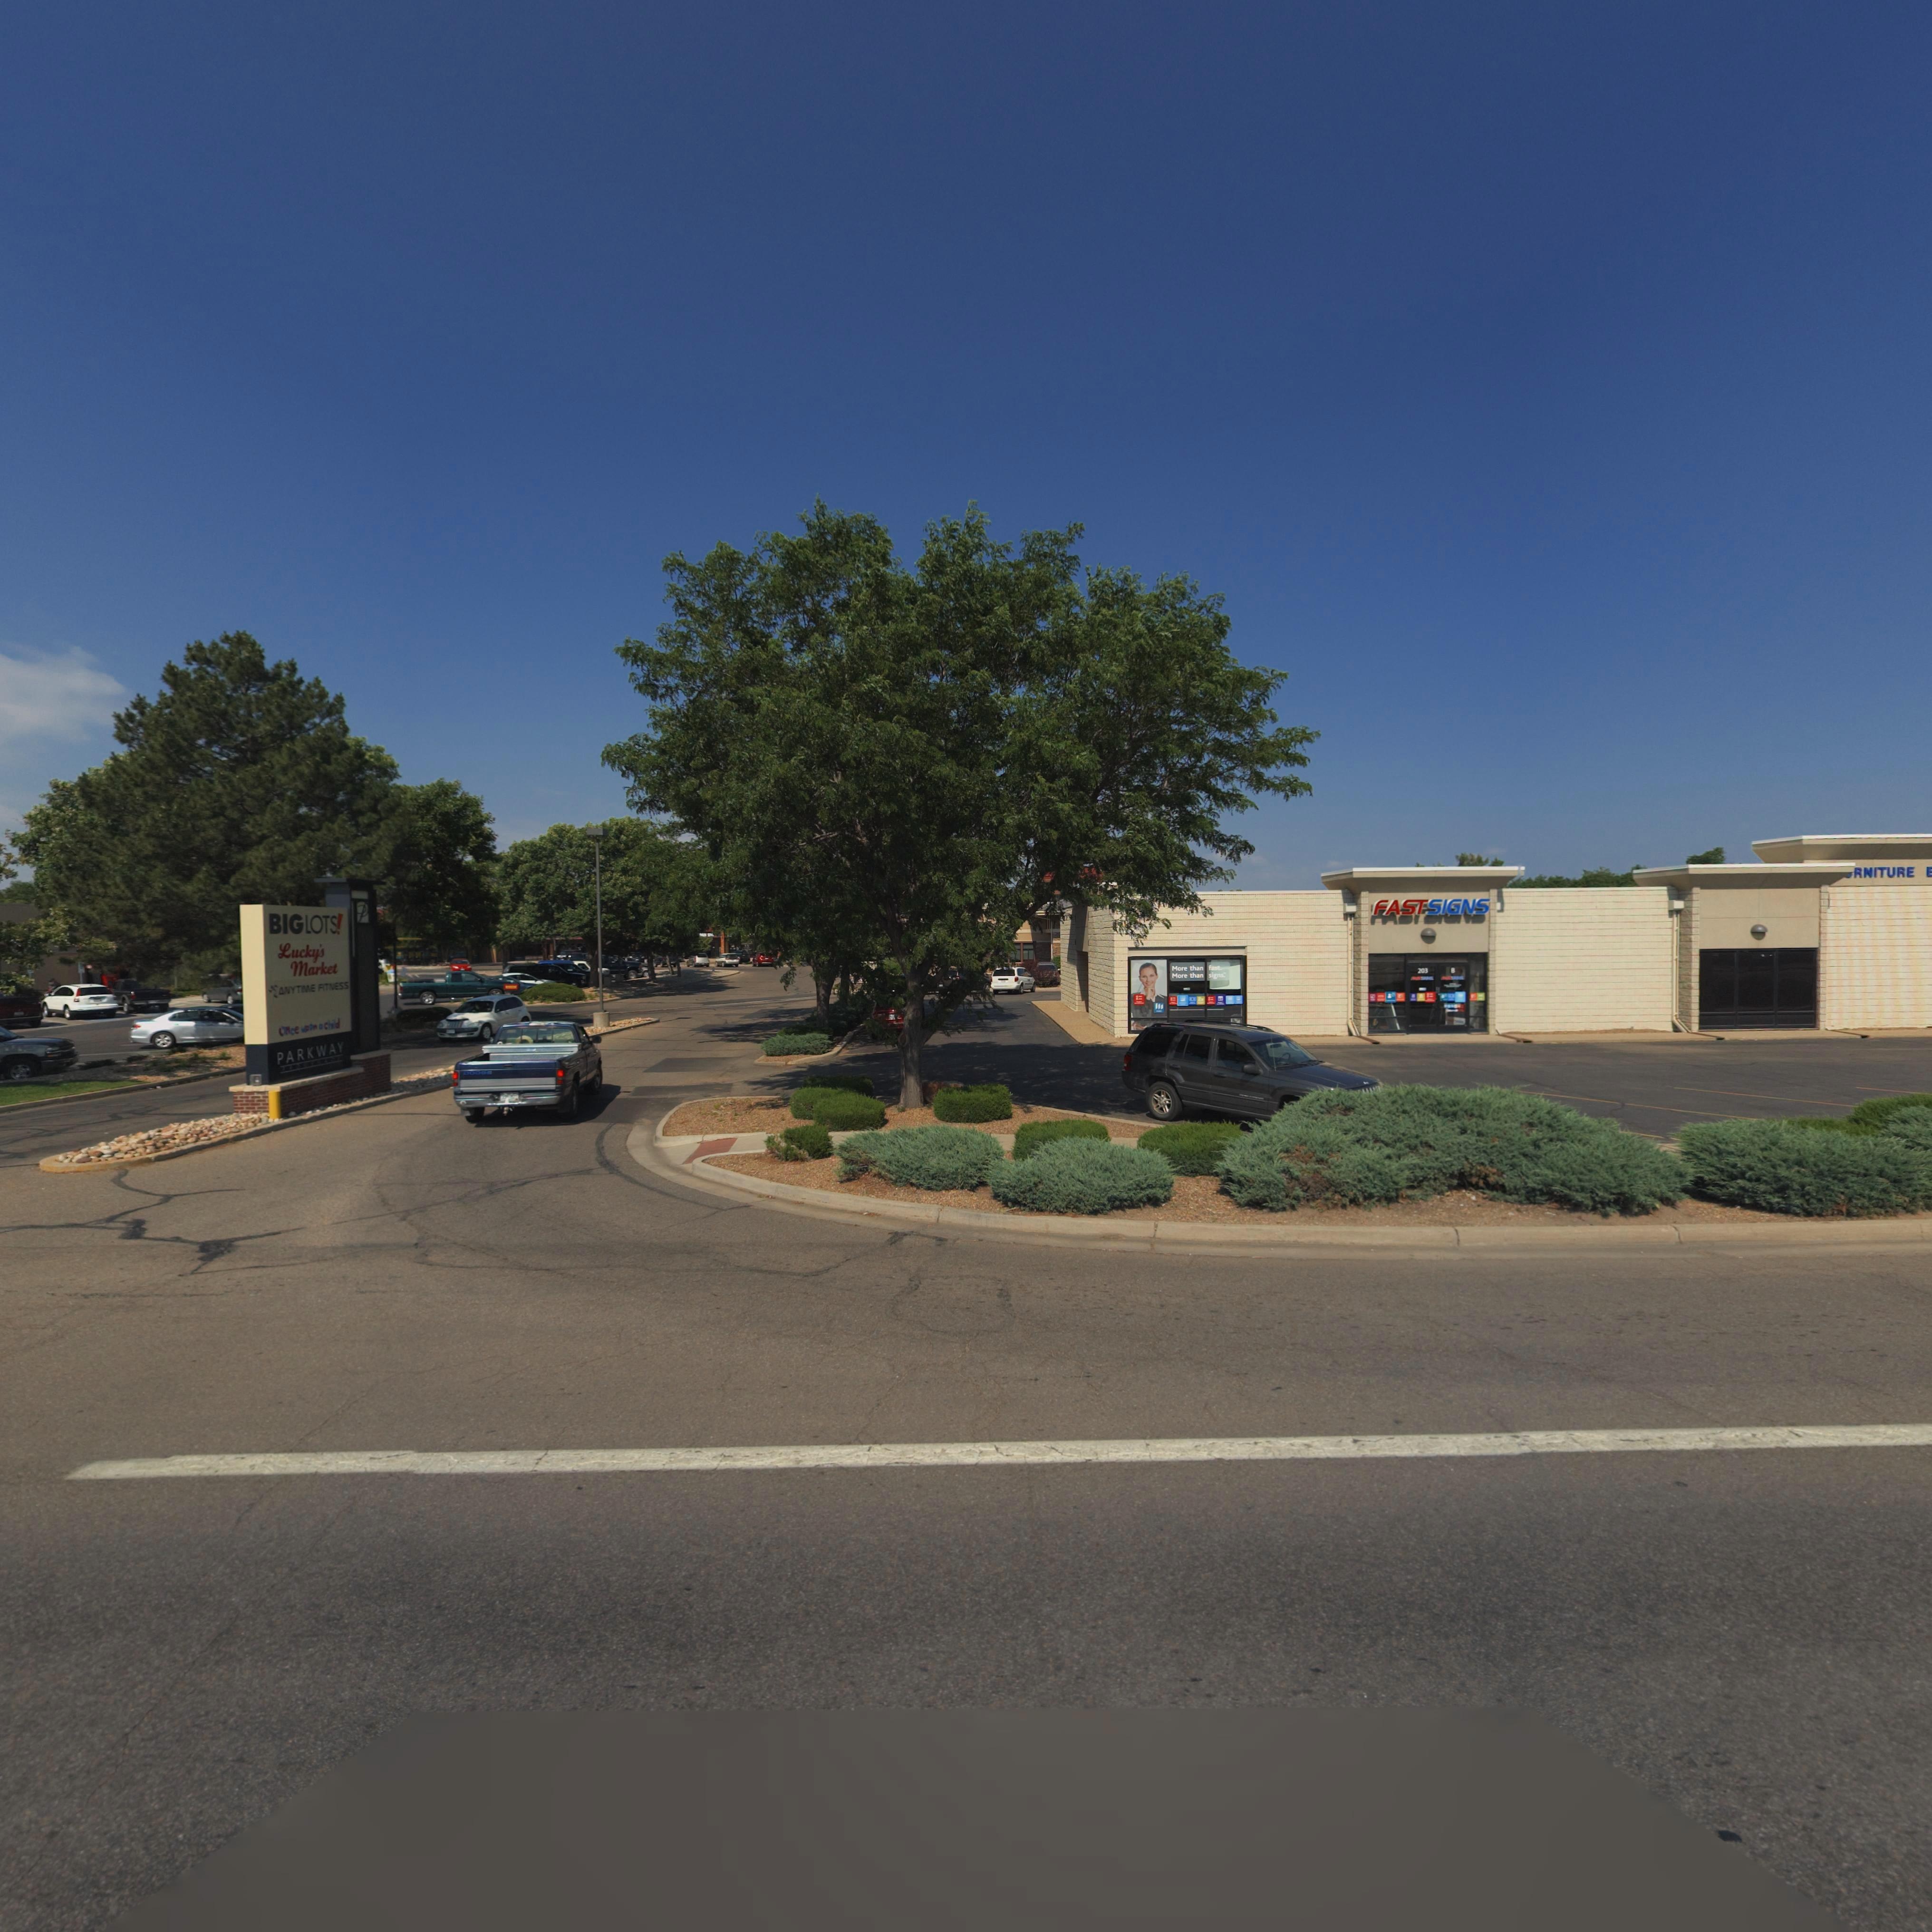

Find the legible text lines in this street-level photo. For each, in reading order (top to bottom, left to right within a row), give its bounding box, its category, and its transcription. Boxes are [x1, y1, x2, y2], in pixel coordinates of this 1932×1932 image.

[1371, 898, 1490, 916] BusinessName: FAST SIGNS
[269, 913, 343, 936] BusinessName: BIG LOTS!
[277, 942, 324, 963] BusinessName: Lucky's
[290, 960, 338, 976] BusinessName: Market
[1410, 976, 1434, 980] BusinessName: FAST SIGNS
[1417, 967, 1428, 974] StreetNumber: 203
[1440, 976, 1465, 980] BusinessName: FAST SIGNS
[1450, 967, 1455, 974] SecondaryUnitDesignator: B
[278, 981, 348, 995] BusinessName: ANYTIME FITNESS
[278, 1018, 340, 1036] BusinessName: Once upon a child